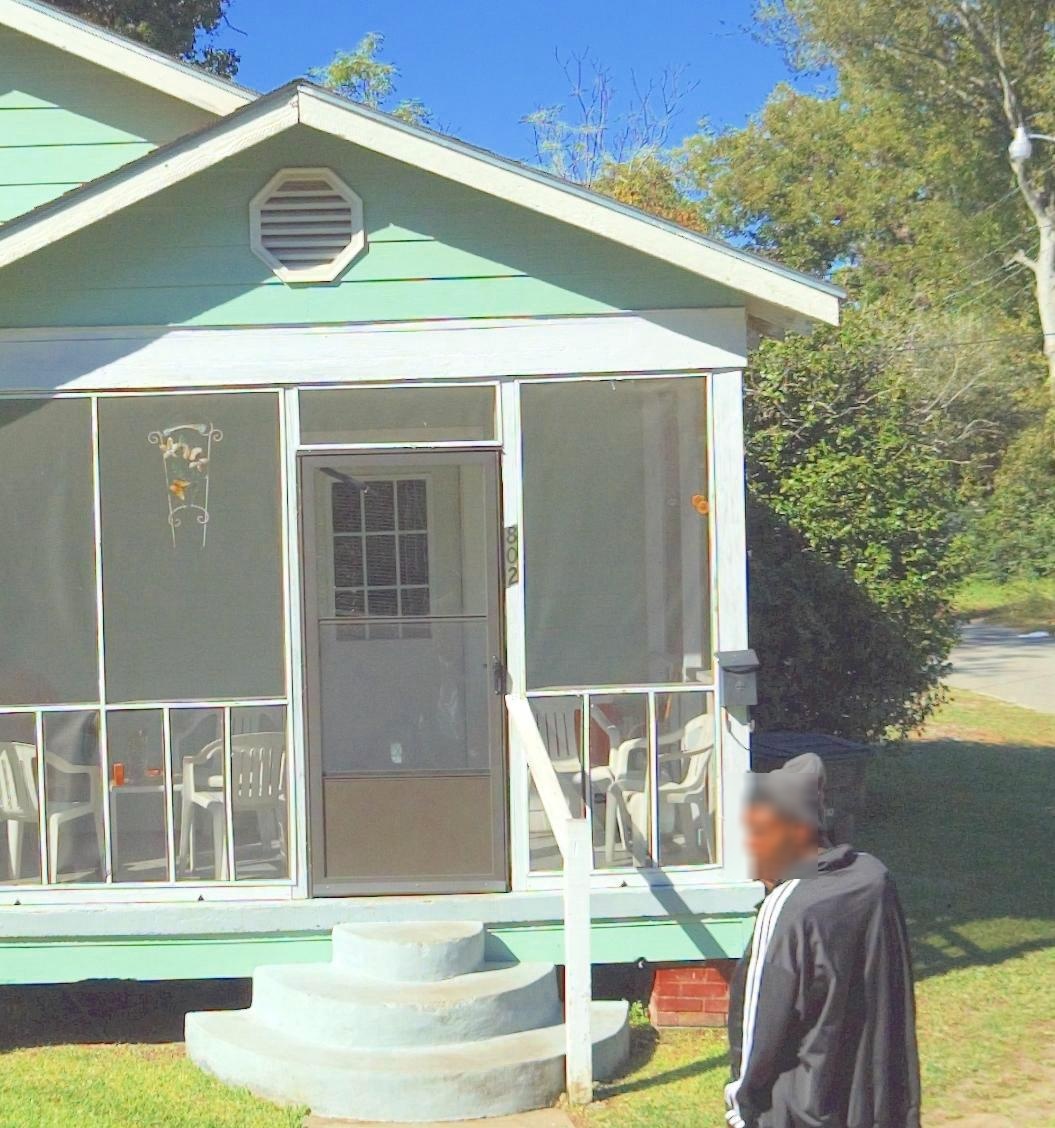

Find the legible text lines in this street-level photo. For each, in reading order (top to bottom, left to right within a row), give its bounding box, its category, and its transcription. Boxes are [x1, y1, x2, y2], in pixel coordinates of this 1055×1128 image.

[504, 524, 520, 588] StreetNumber: 802